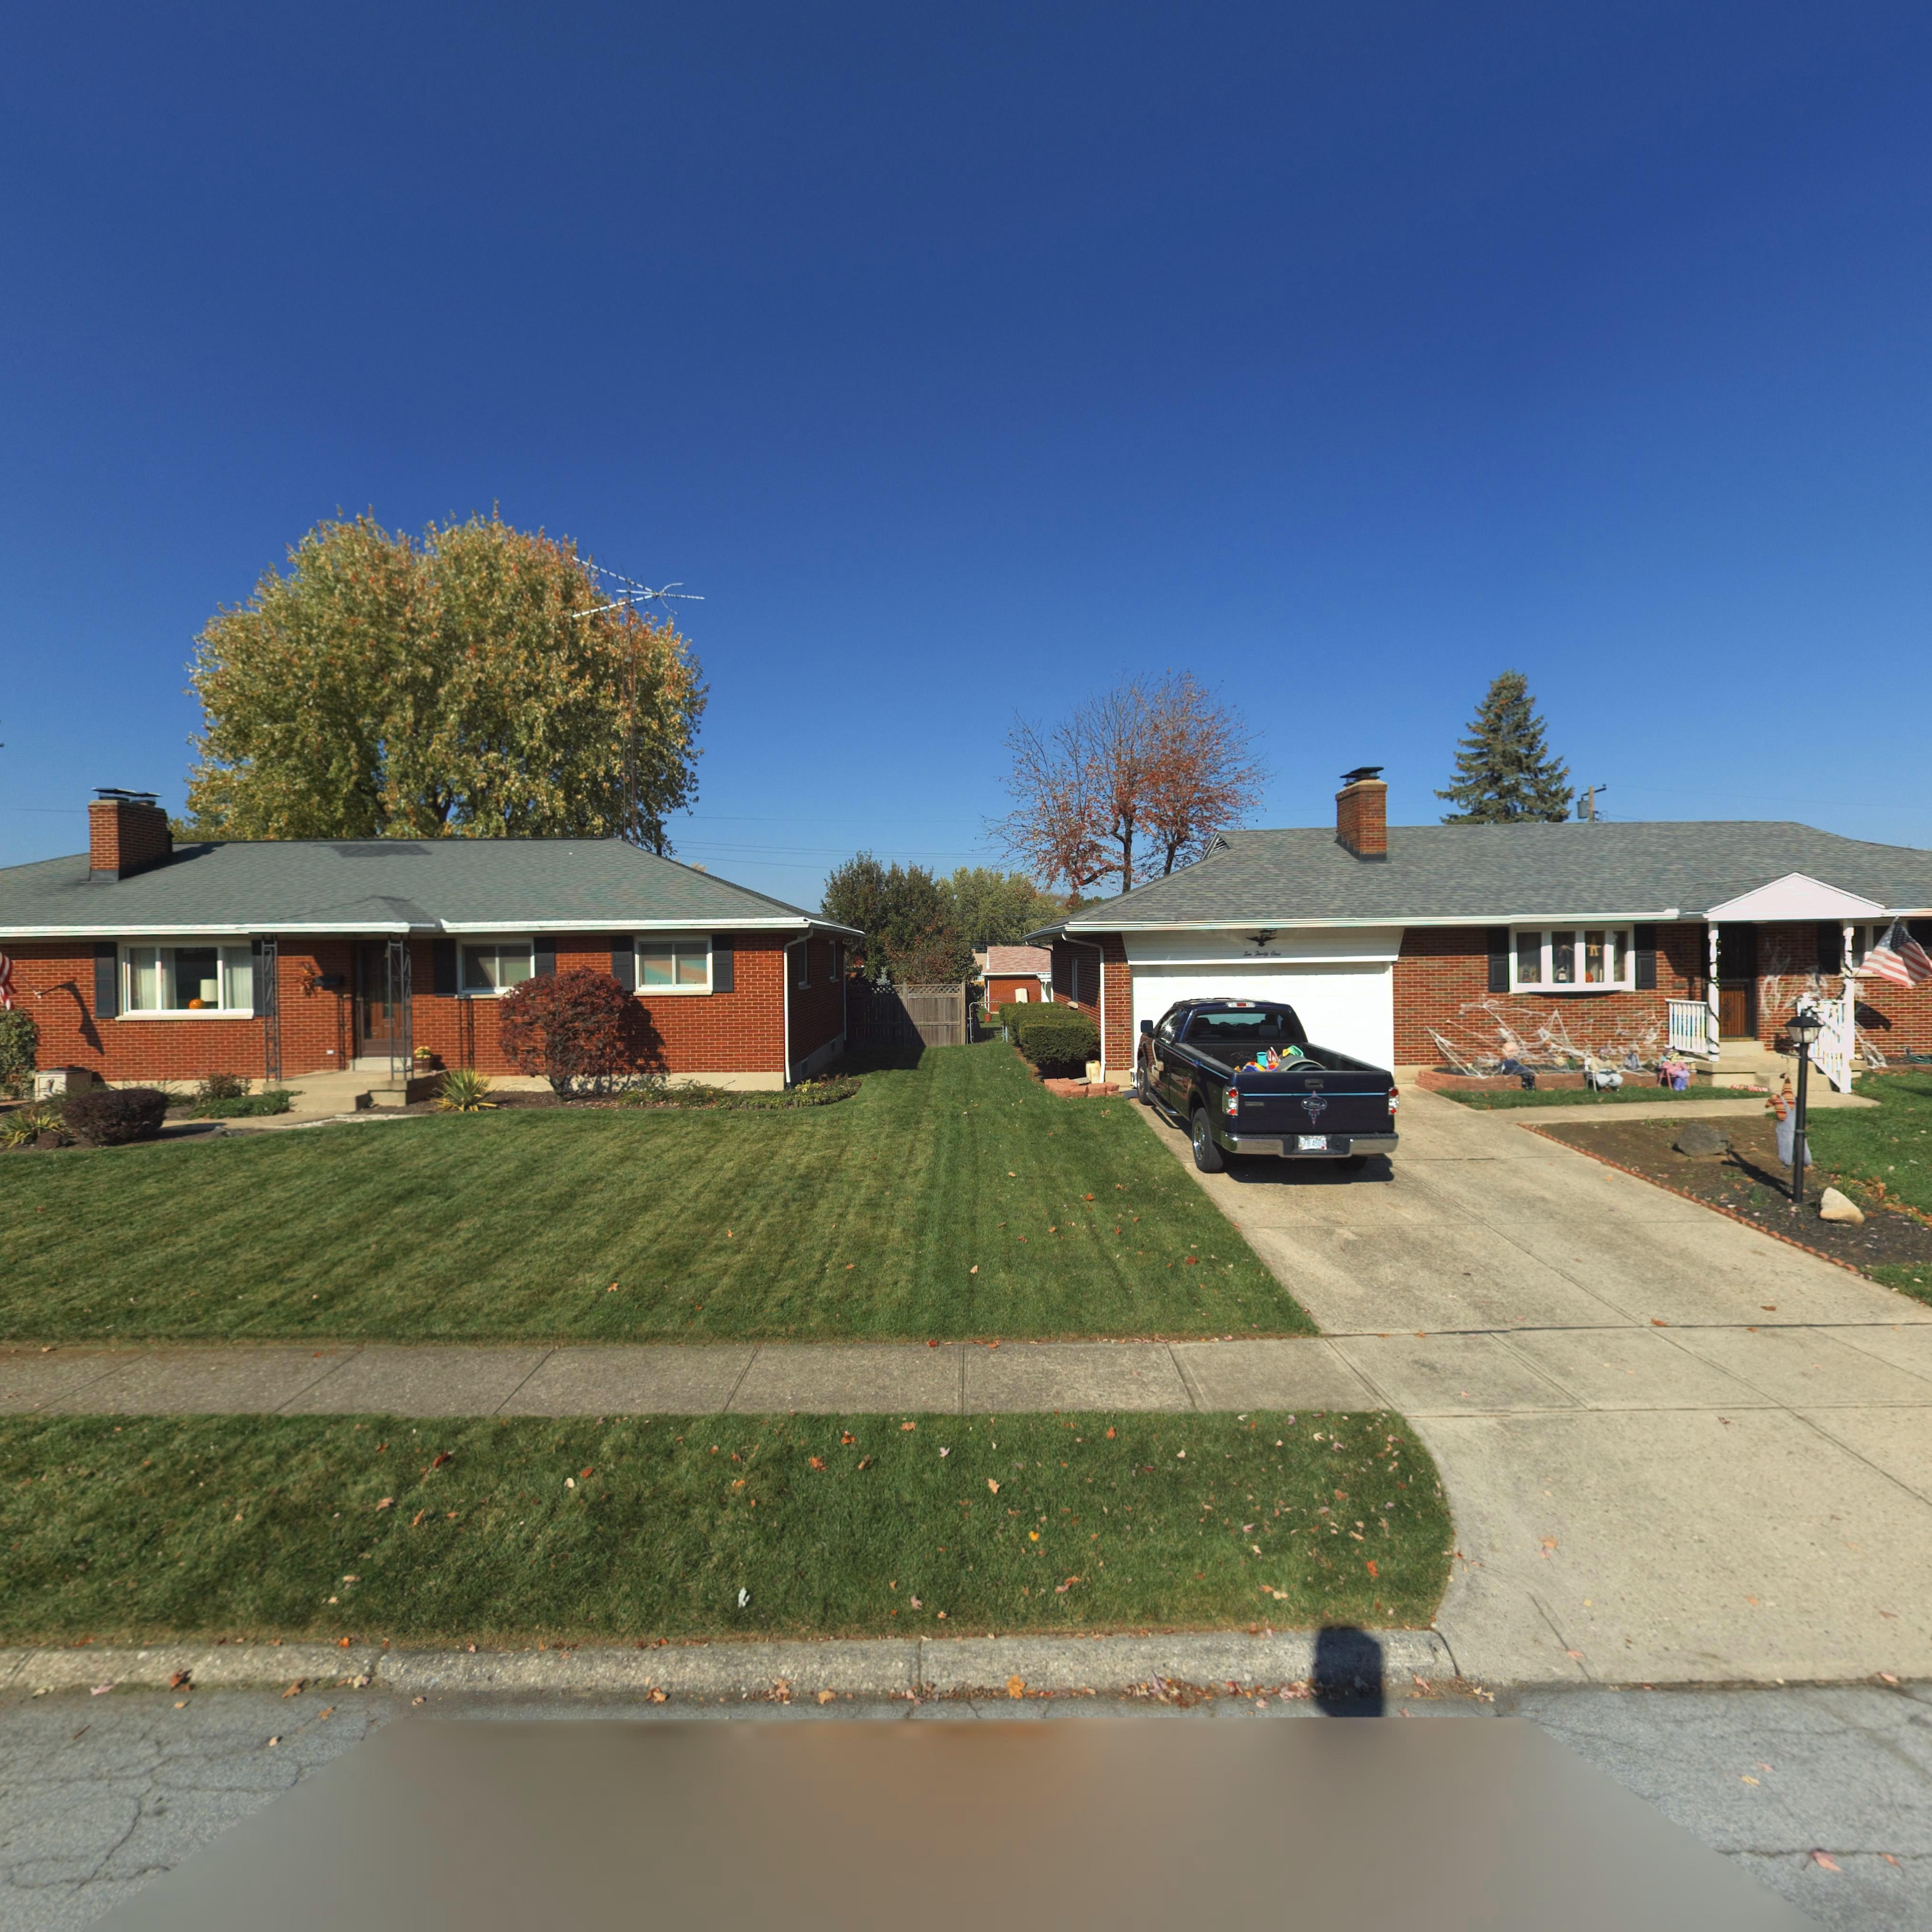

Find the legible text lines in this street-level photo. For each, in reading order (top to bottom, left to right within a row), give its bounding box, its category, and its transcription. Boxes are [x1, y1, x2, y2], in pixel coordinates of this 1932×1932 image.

[1242, 950, 1282, 957] StreetNumber: T*n T****y One